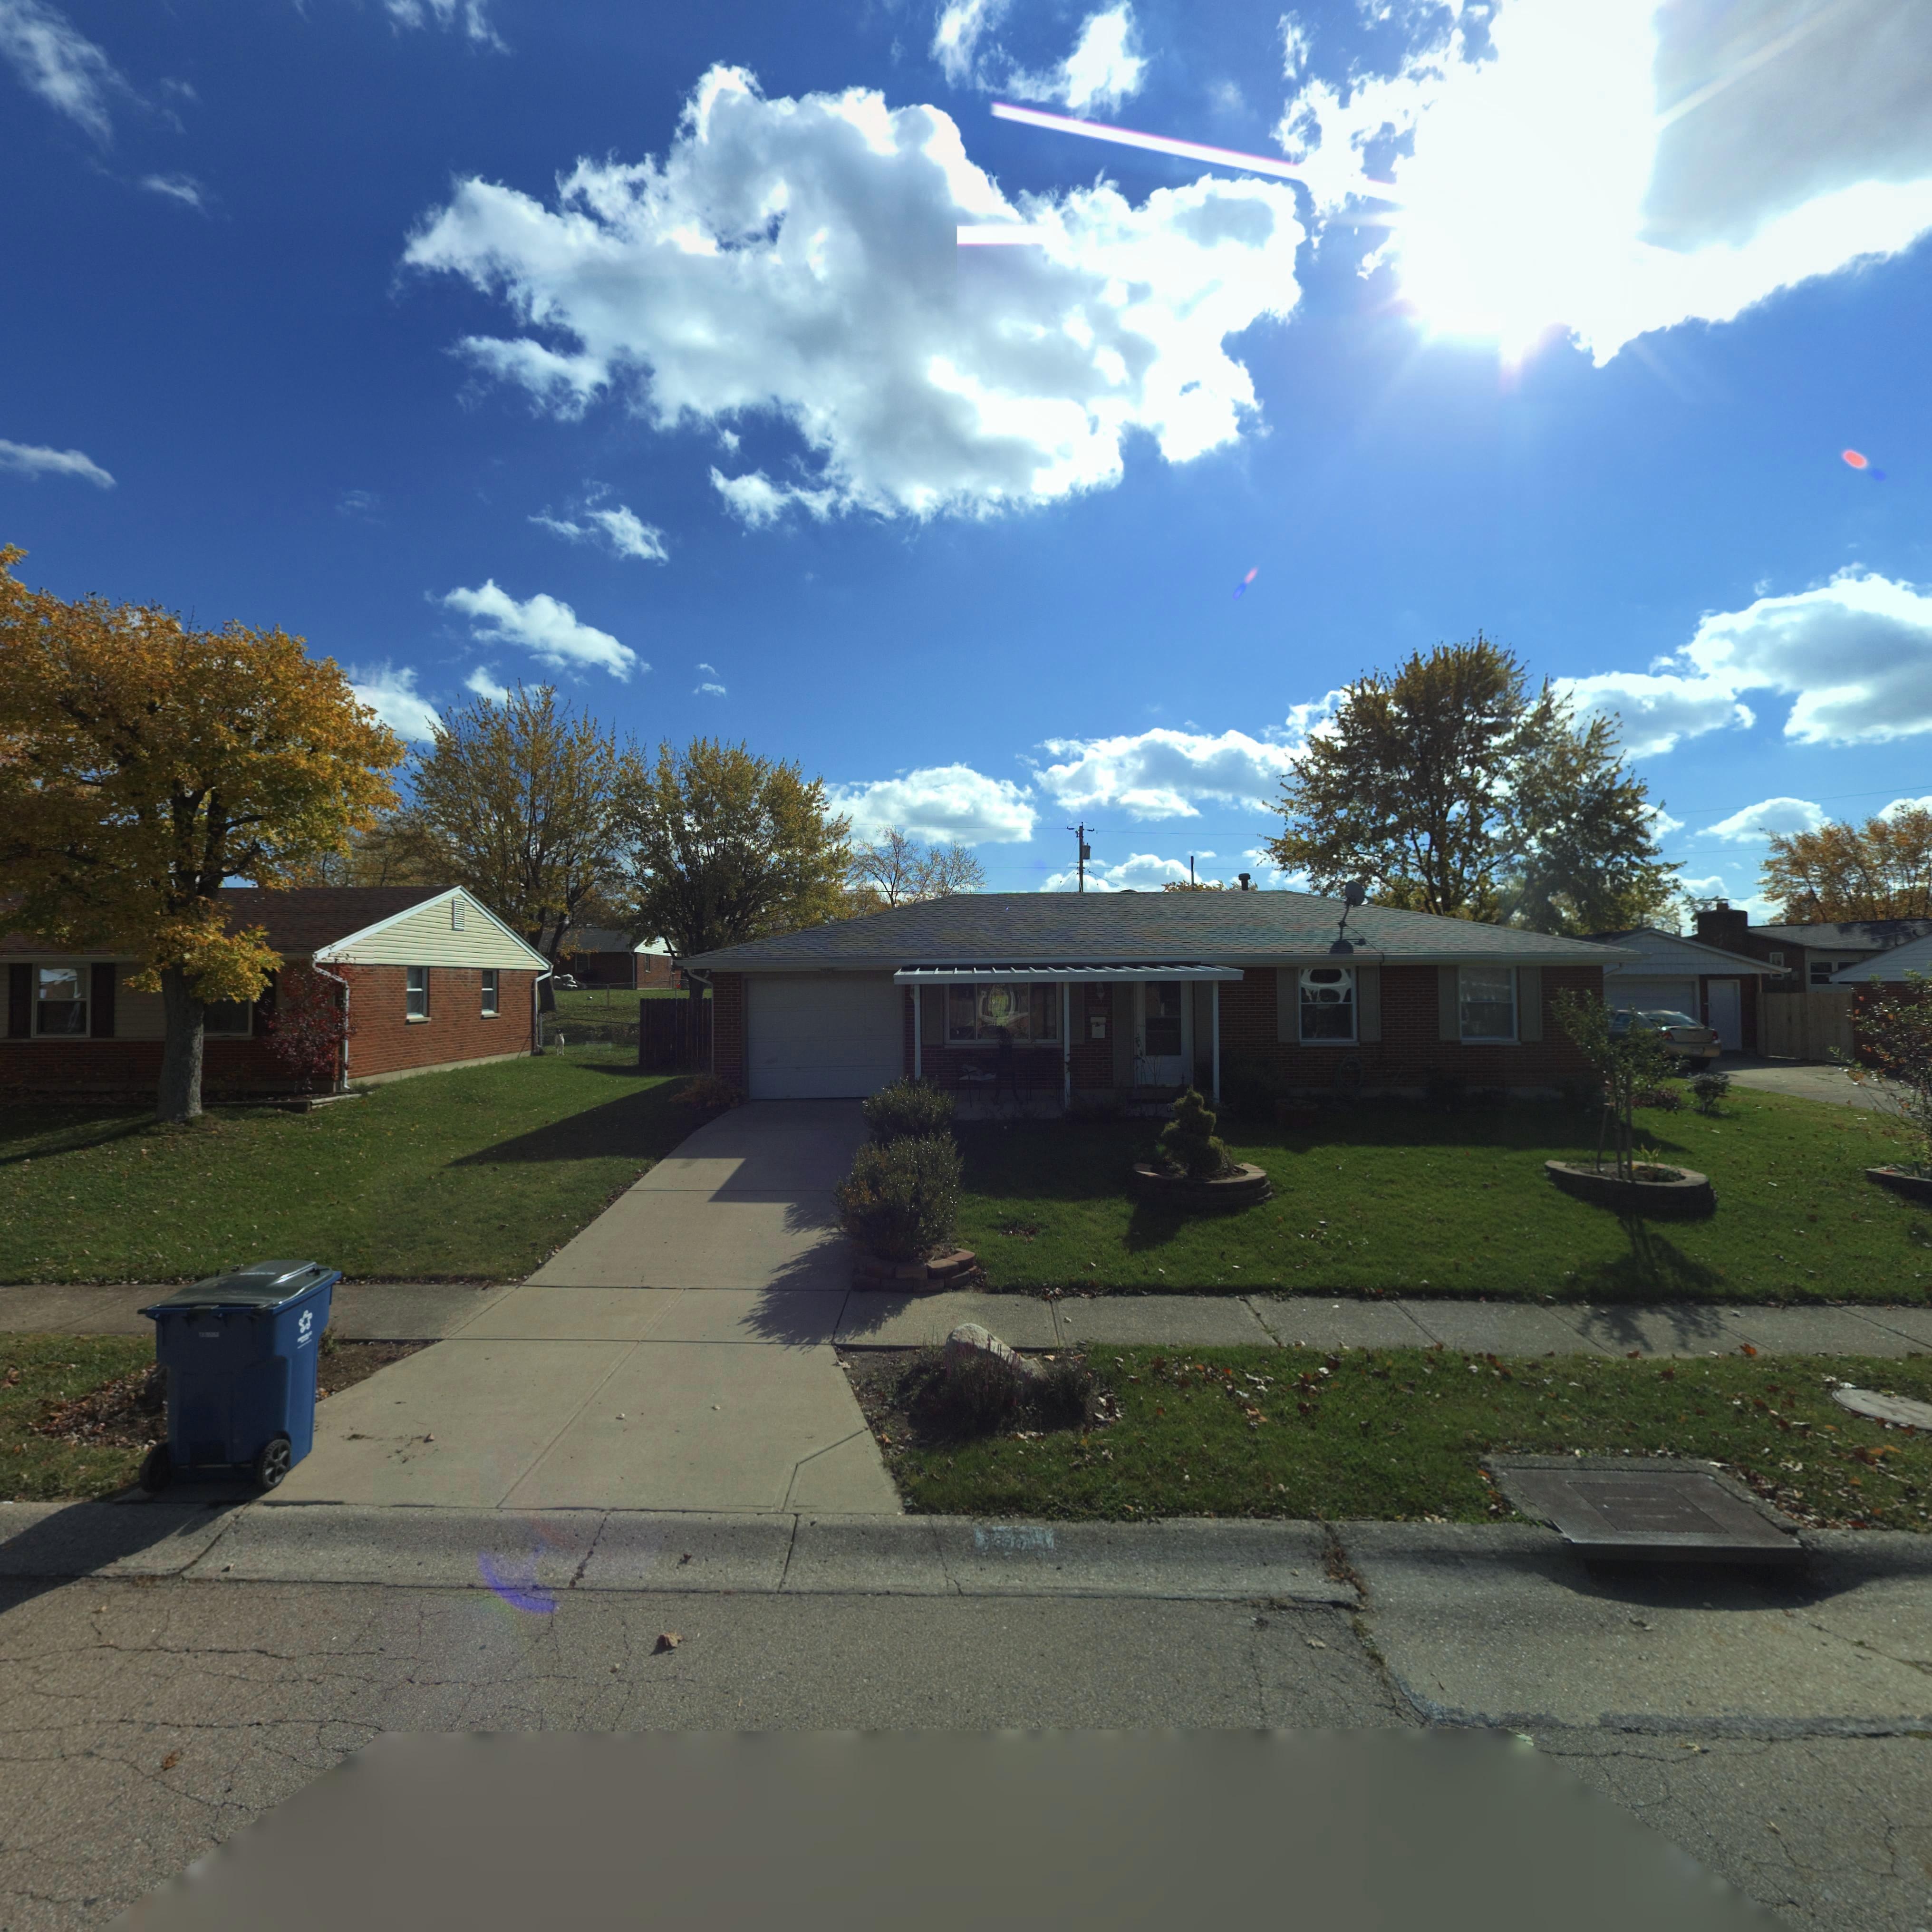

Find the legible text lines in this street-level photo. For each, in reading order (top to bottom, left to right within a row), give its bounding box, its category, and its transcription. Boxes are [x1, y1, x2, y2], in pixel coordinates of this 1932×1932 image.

[1089, 1007, 1107, 1013] StreetNumber: 7*20
[1167, 1102, 1176, 1112] StreetNumber: 76
[1003, 1536, 1024, 1552] StreetNumber: 20